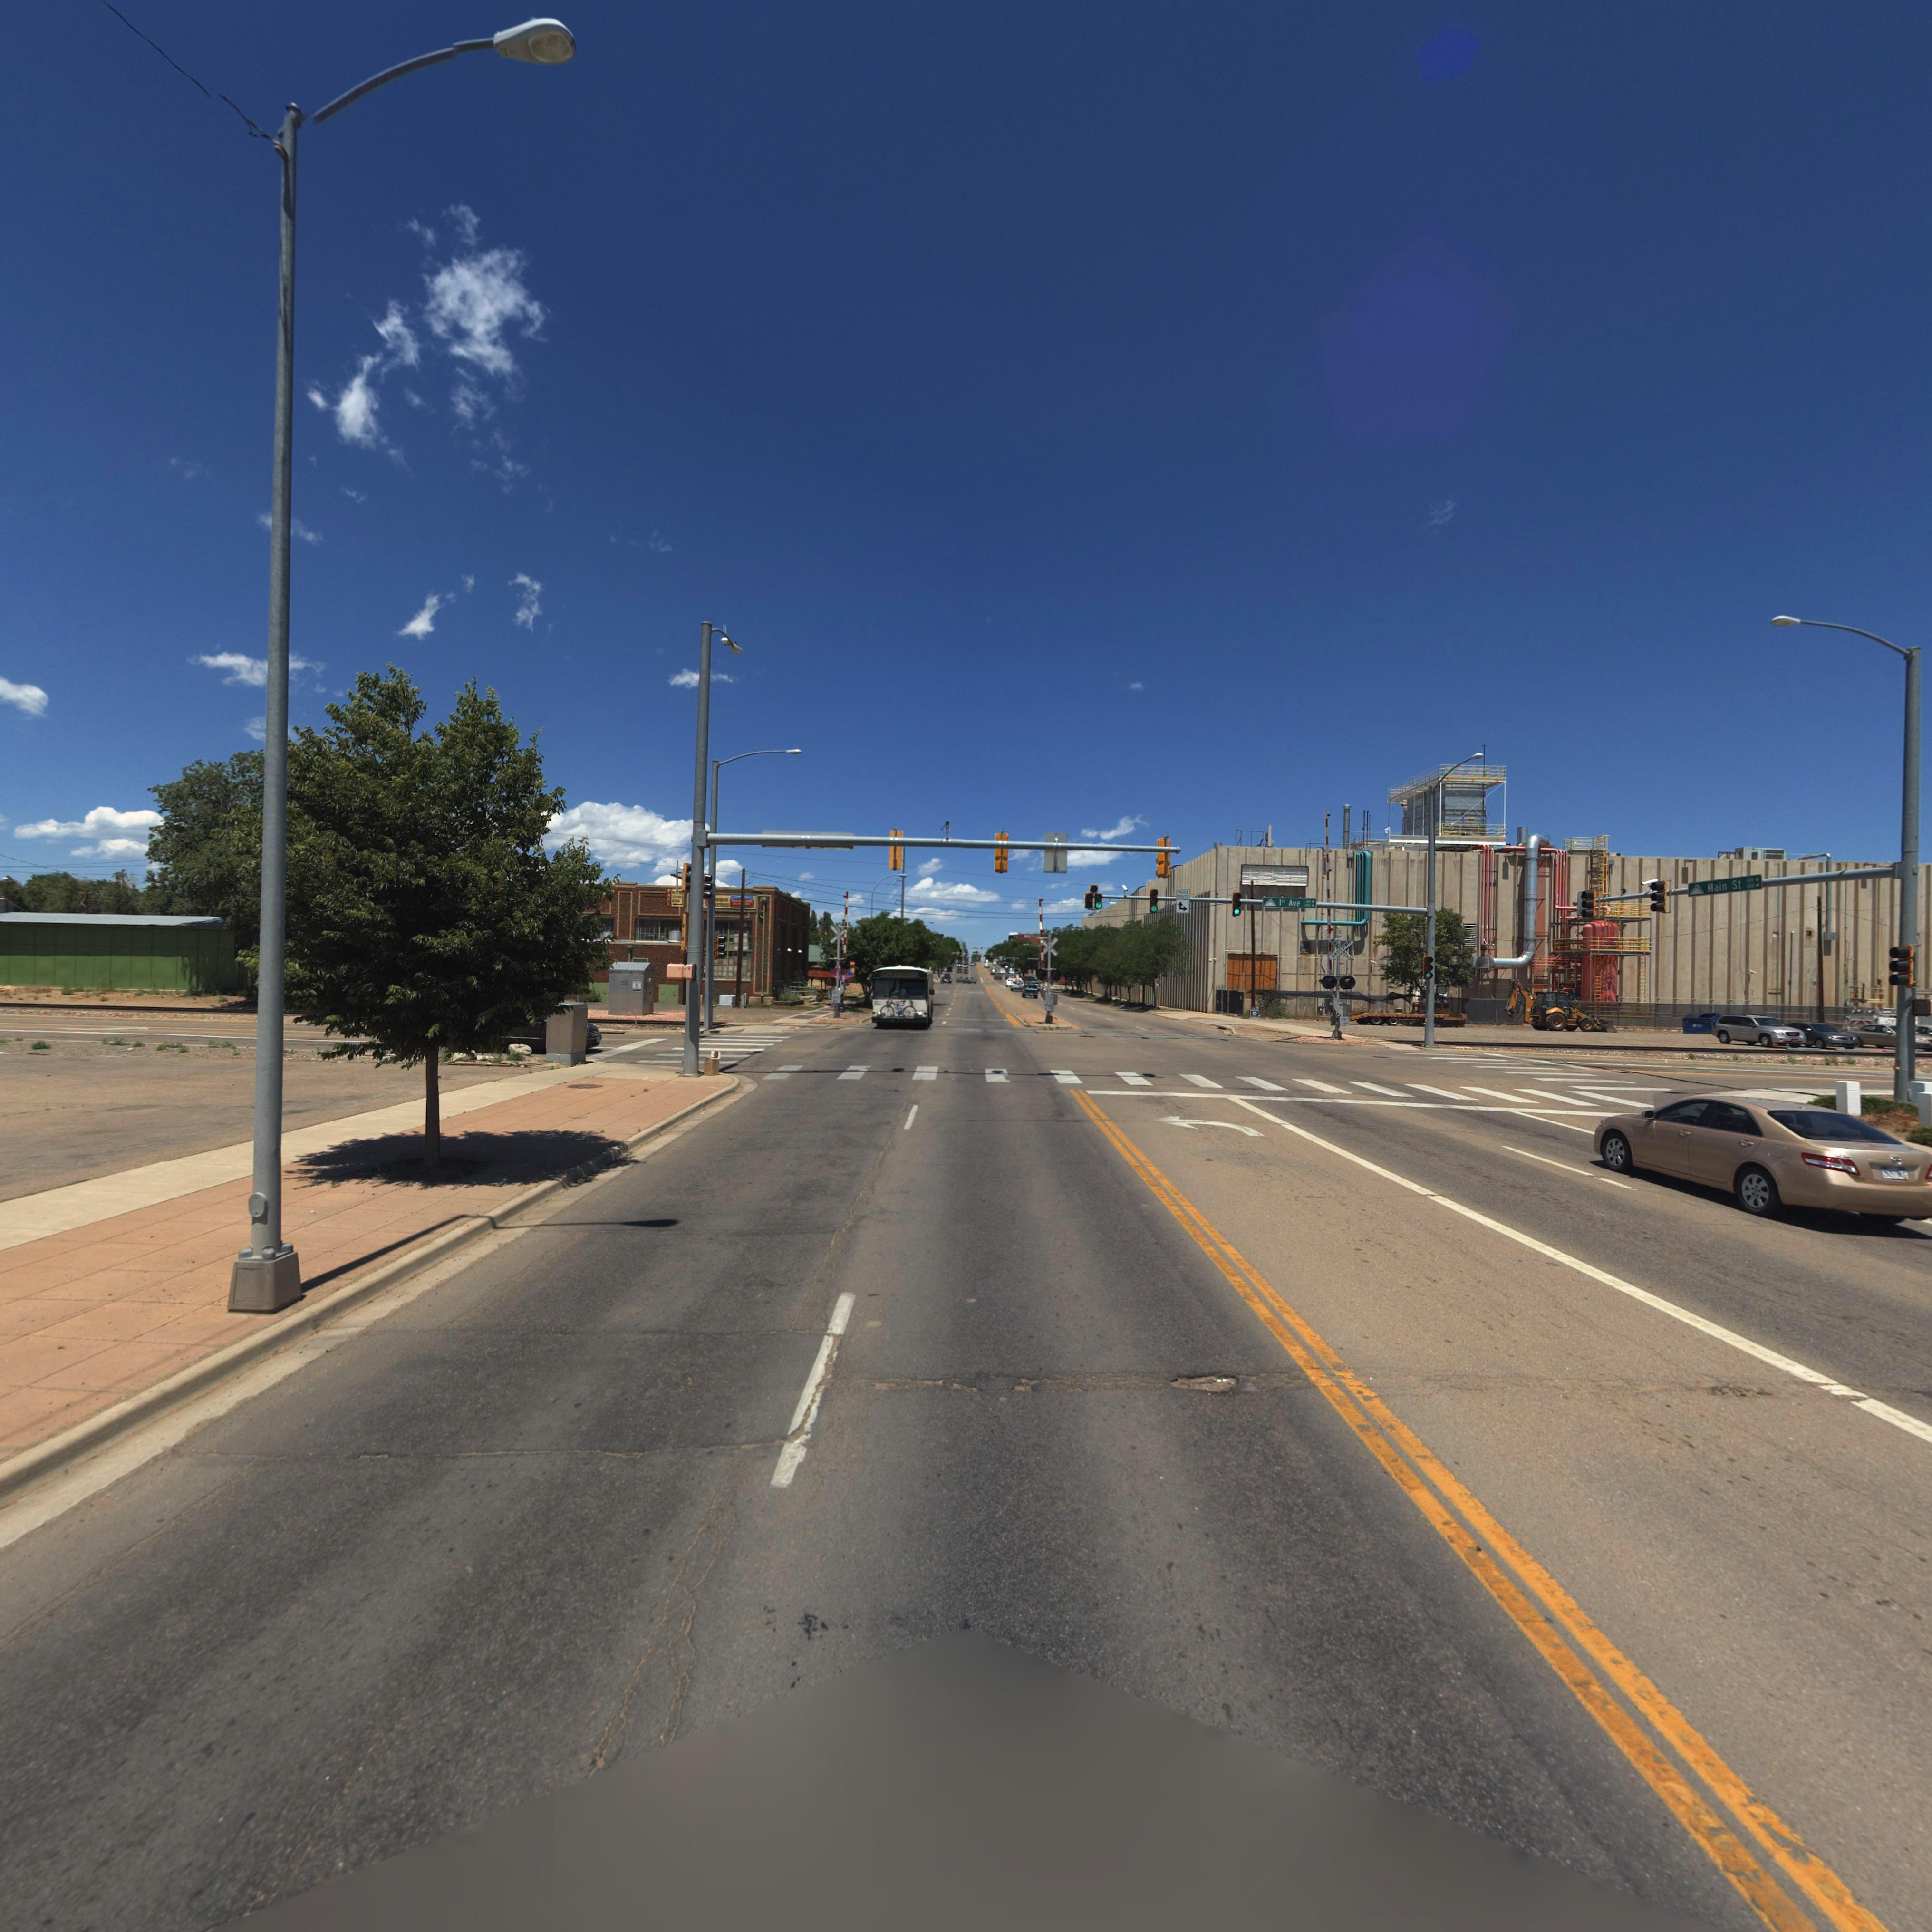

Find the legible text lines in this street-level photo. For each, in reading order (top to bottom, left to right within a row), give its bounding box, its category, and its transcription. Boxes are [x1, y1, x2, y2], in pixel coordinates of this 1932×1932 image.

[1706, 879, 1742, 893] StreetName: Main St
[1278, 898, 1301, 907] StreetName: 1st Ave
[1305, 899, 1311, 903] StreetNumberRange: *00
[1304, 903, 1315, 907] StreetNumberRange: *00->